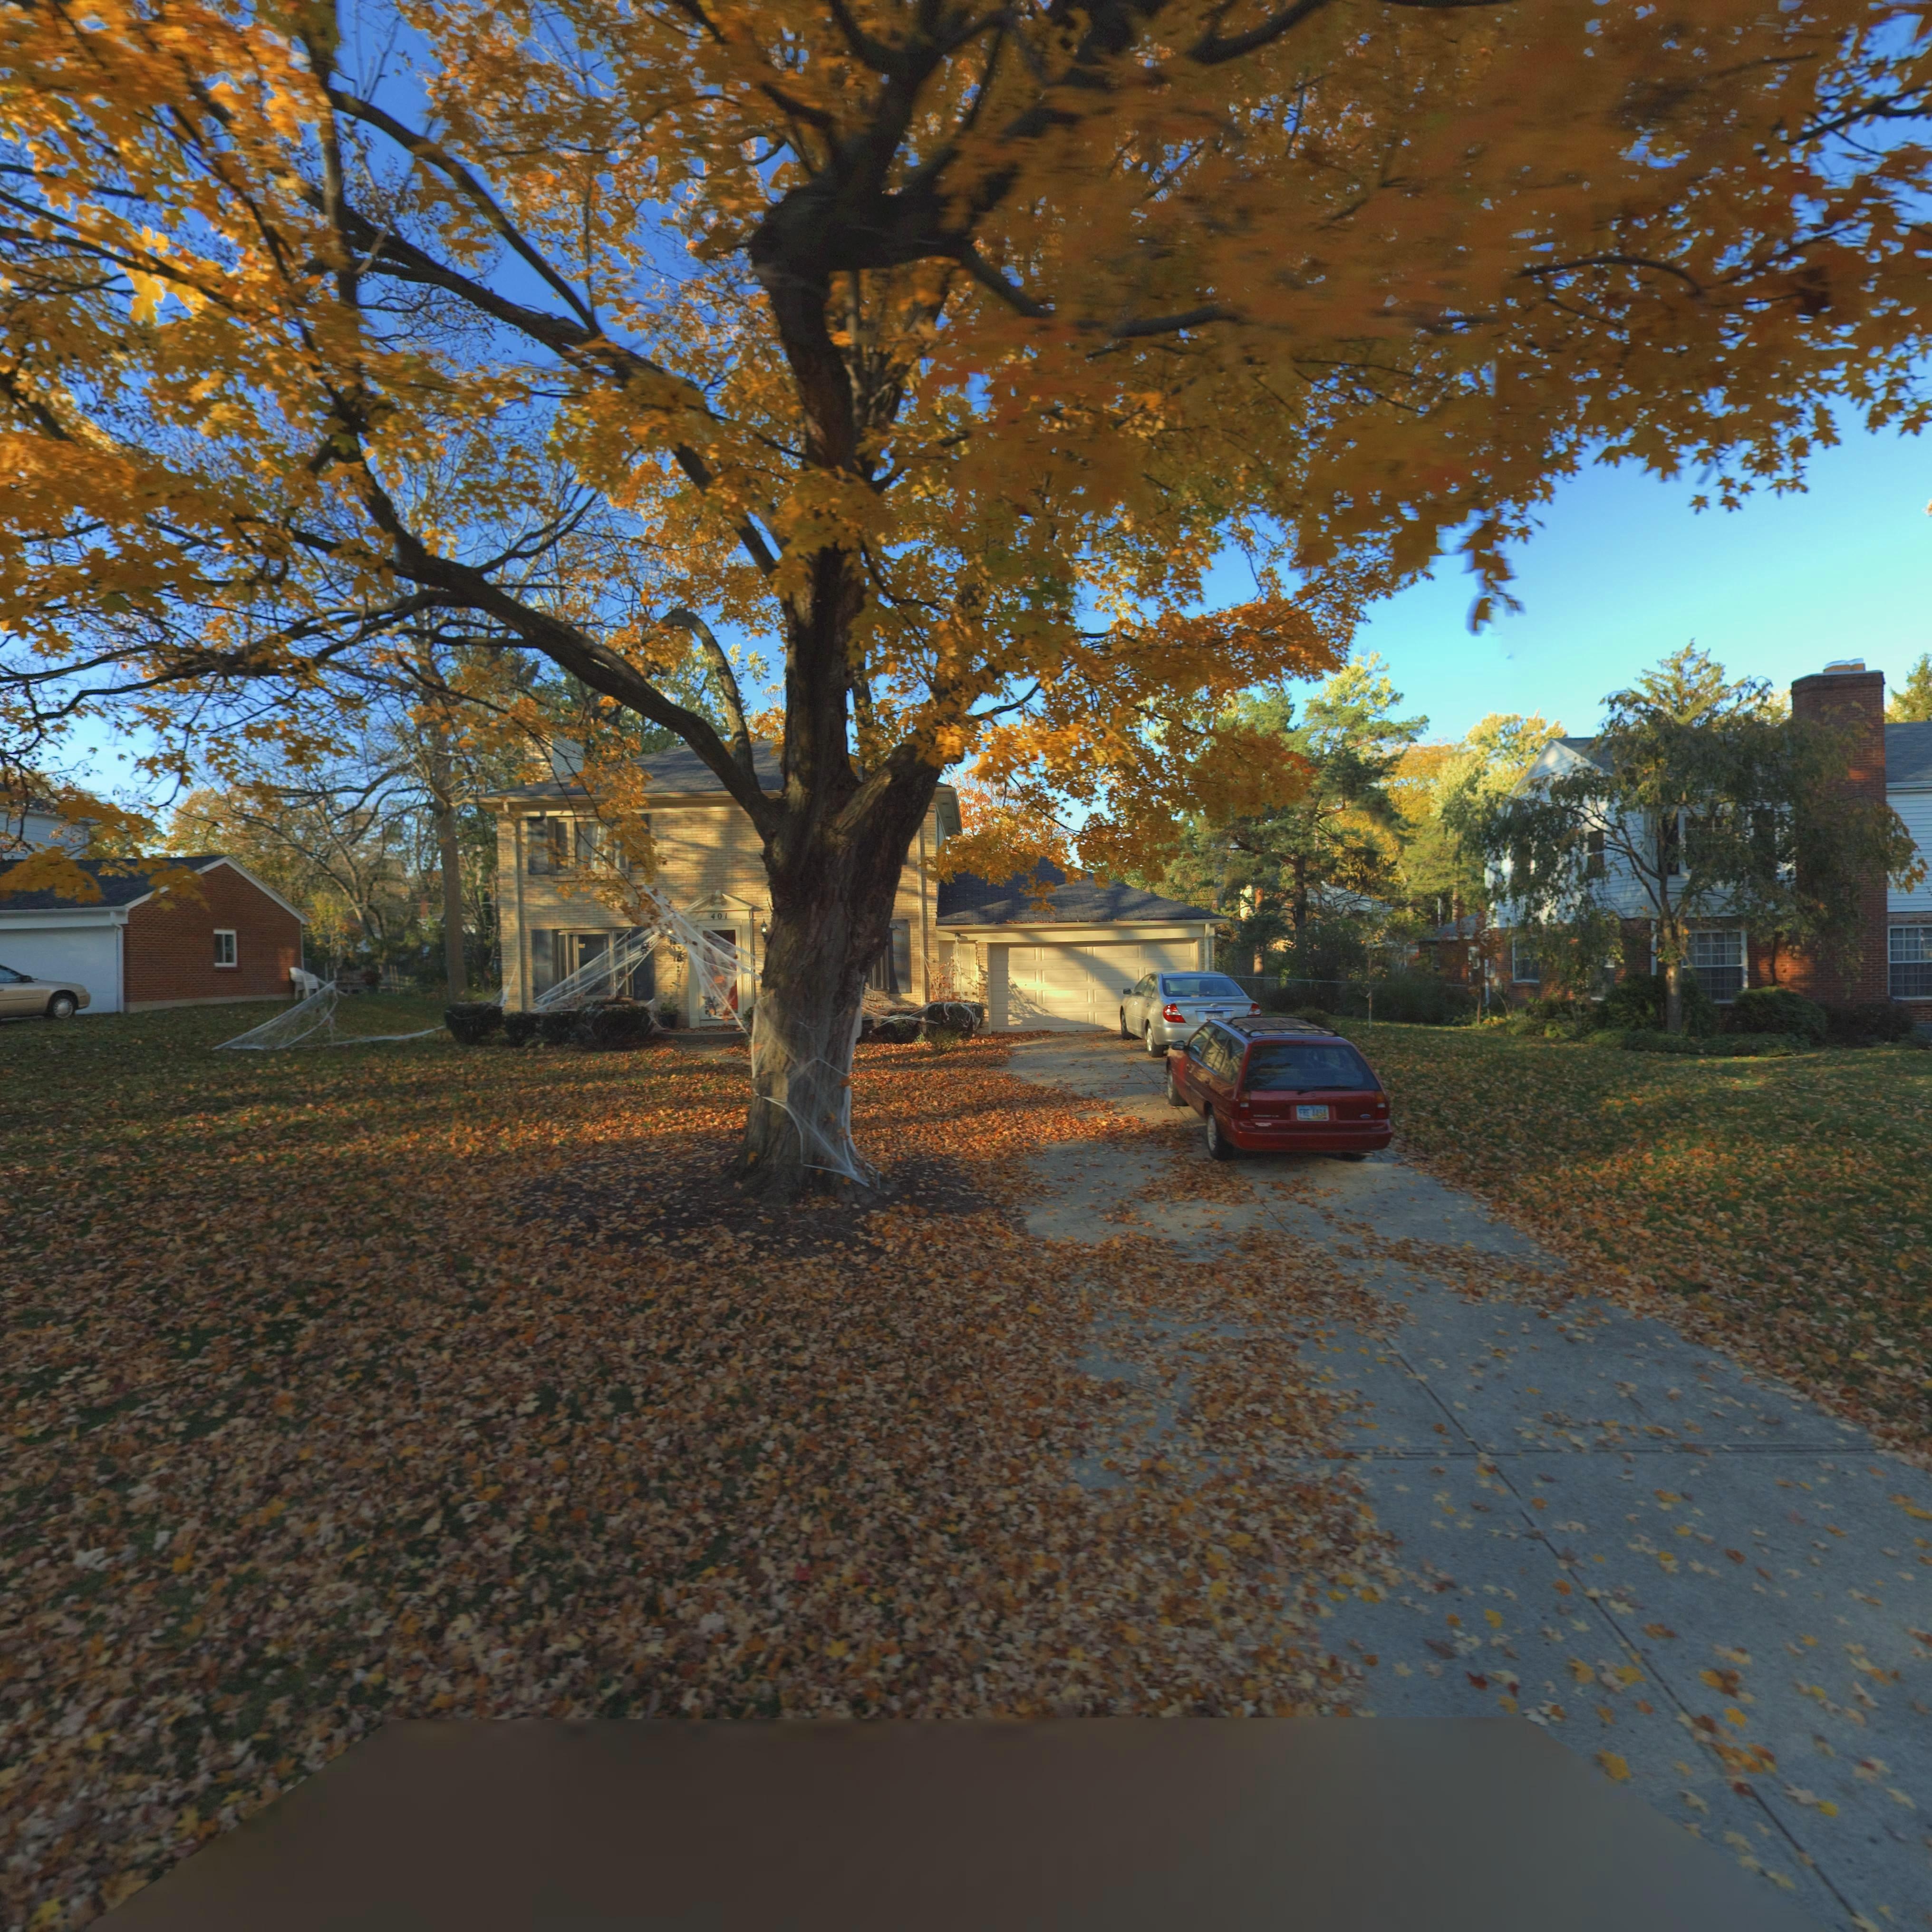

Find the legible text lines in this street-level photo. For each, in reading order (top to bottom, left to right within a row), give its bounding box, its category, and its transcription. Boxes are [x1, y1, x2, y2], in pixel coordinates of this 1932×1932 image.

[710, 911, 728, 920] StreetNumber: 401